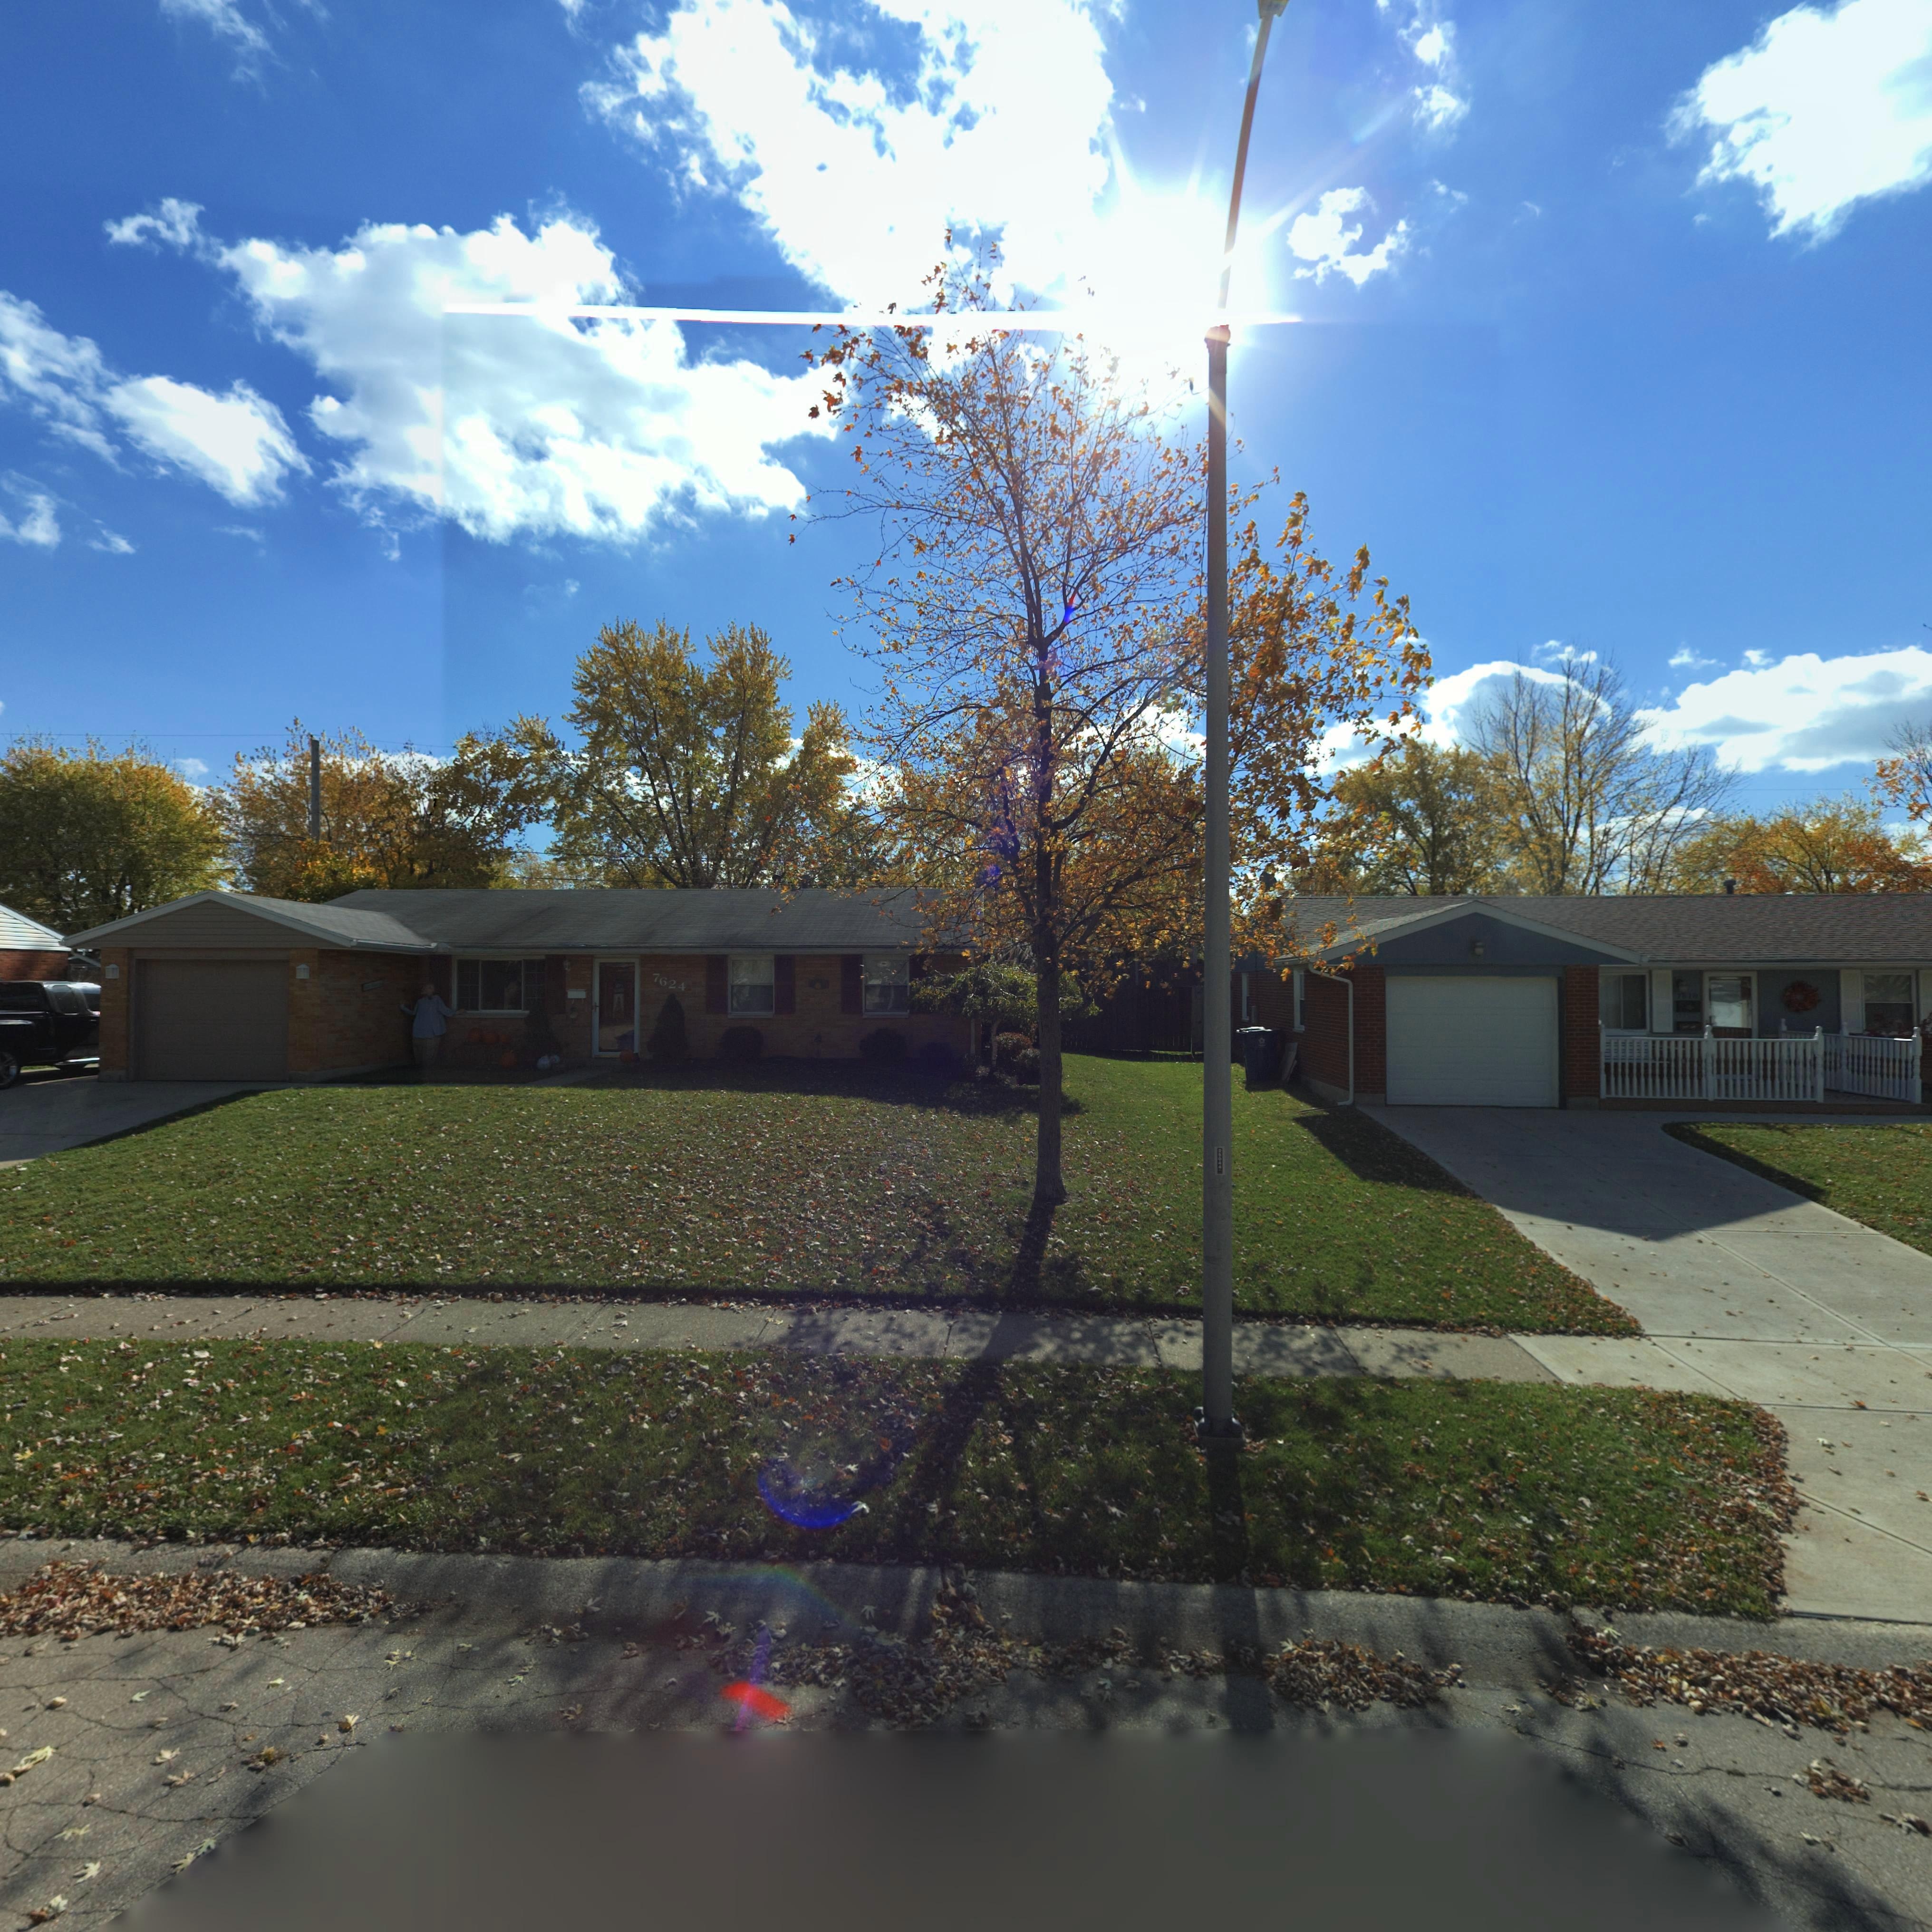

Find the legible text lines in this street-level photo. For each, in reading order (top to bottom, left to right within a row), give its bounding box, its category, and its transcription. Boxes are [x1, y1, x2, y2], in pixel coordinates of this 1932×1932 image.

[652, 973, 686, 991] StreetNumber: 7624
[1675, 992, 1700, 1000] StreetNumber: 761*